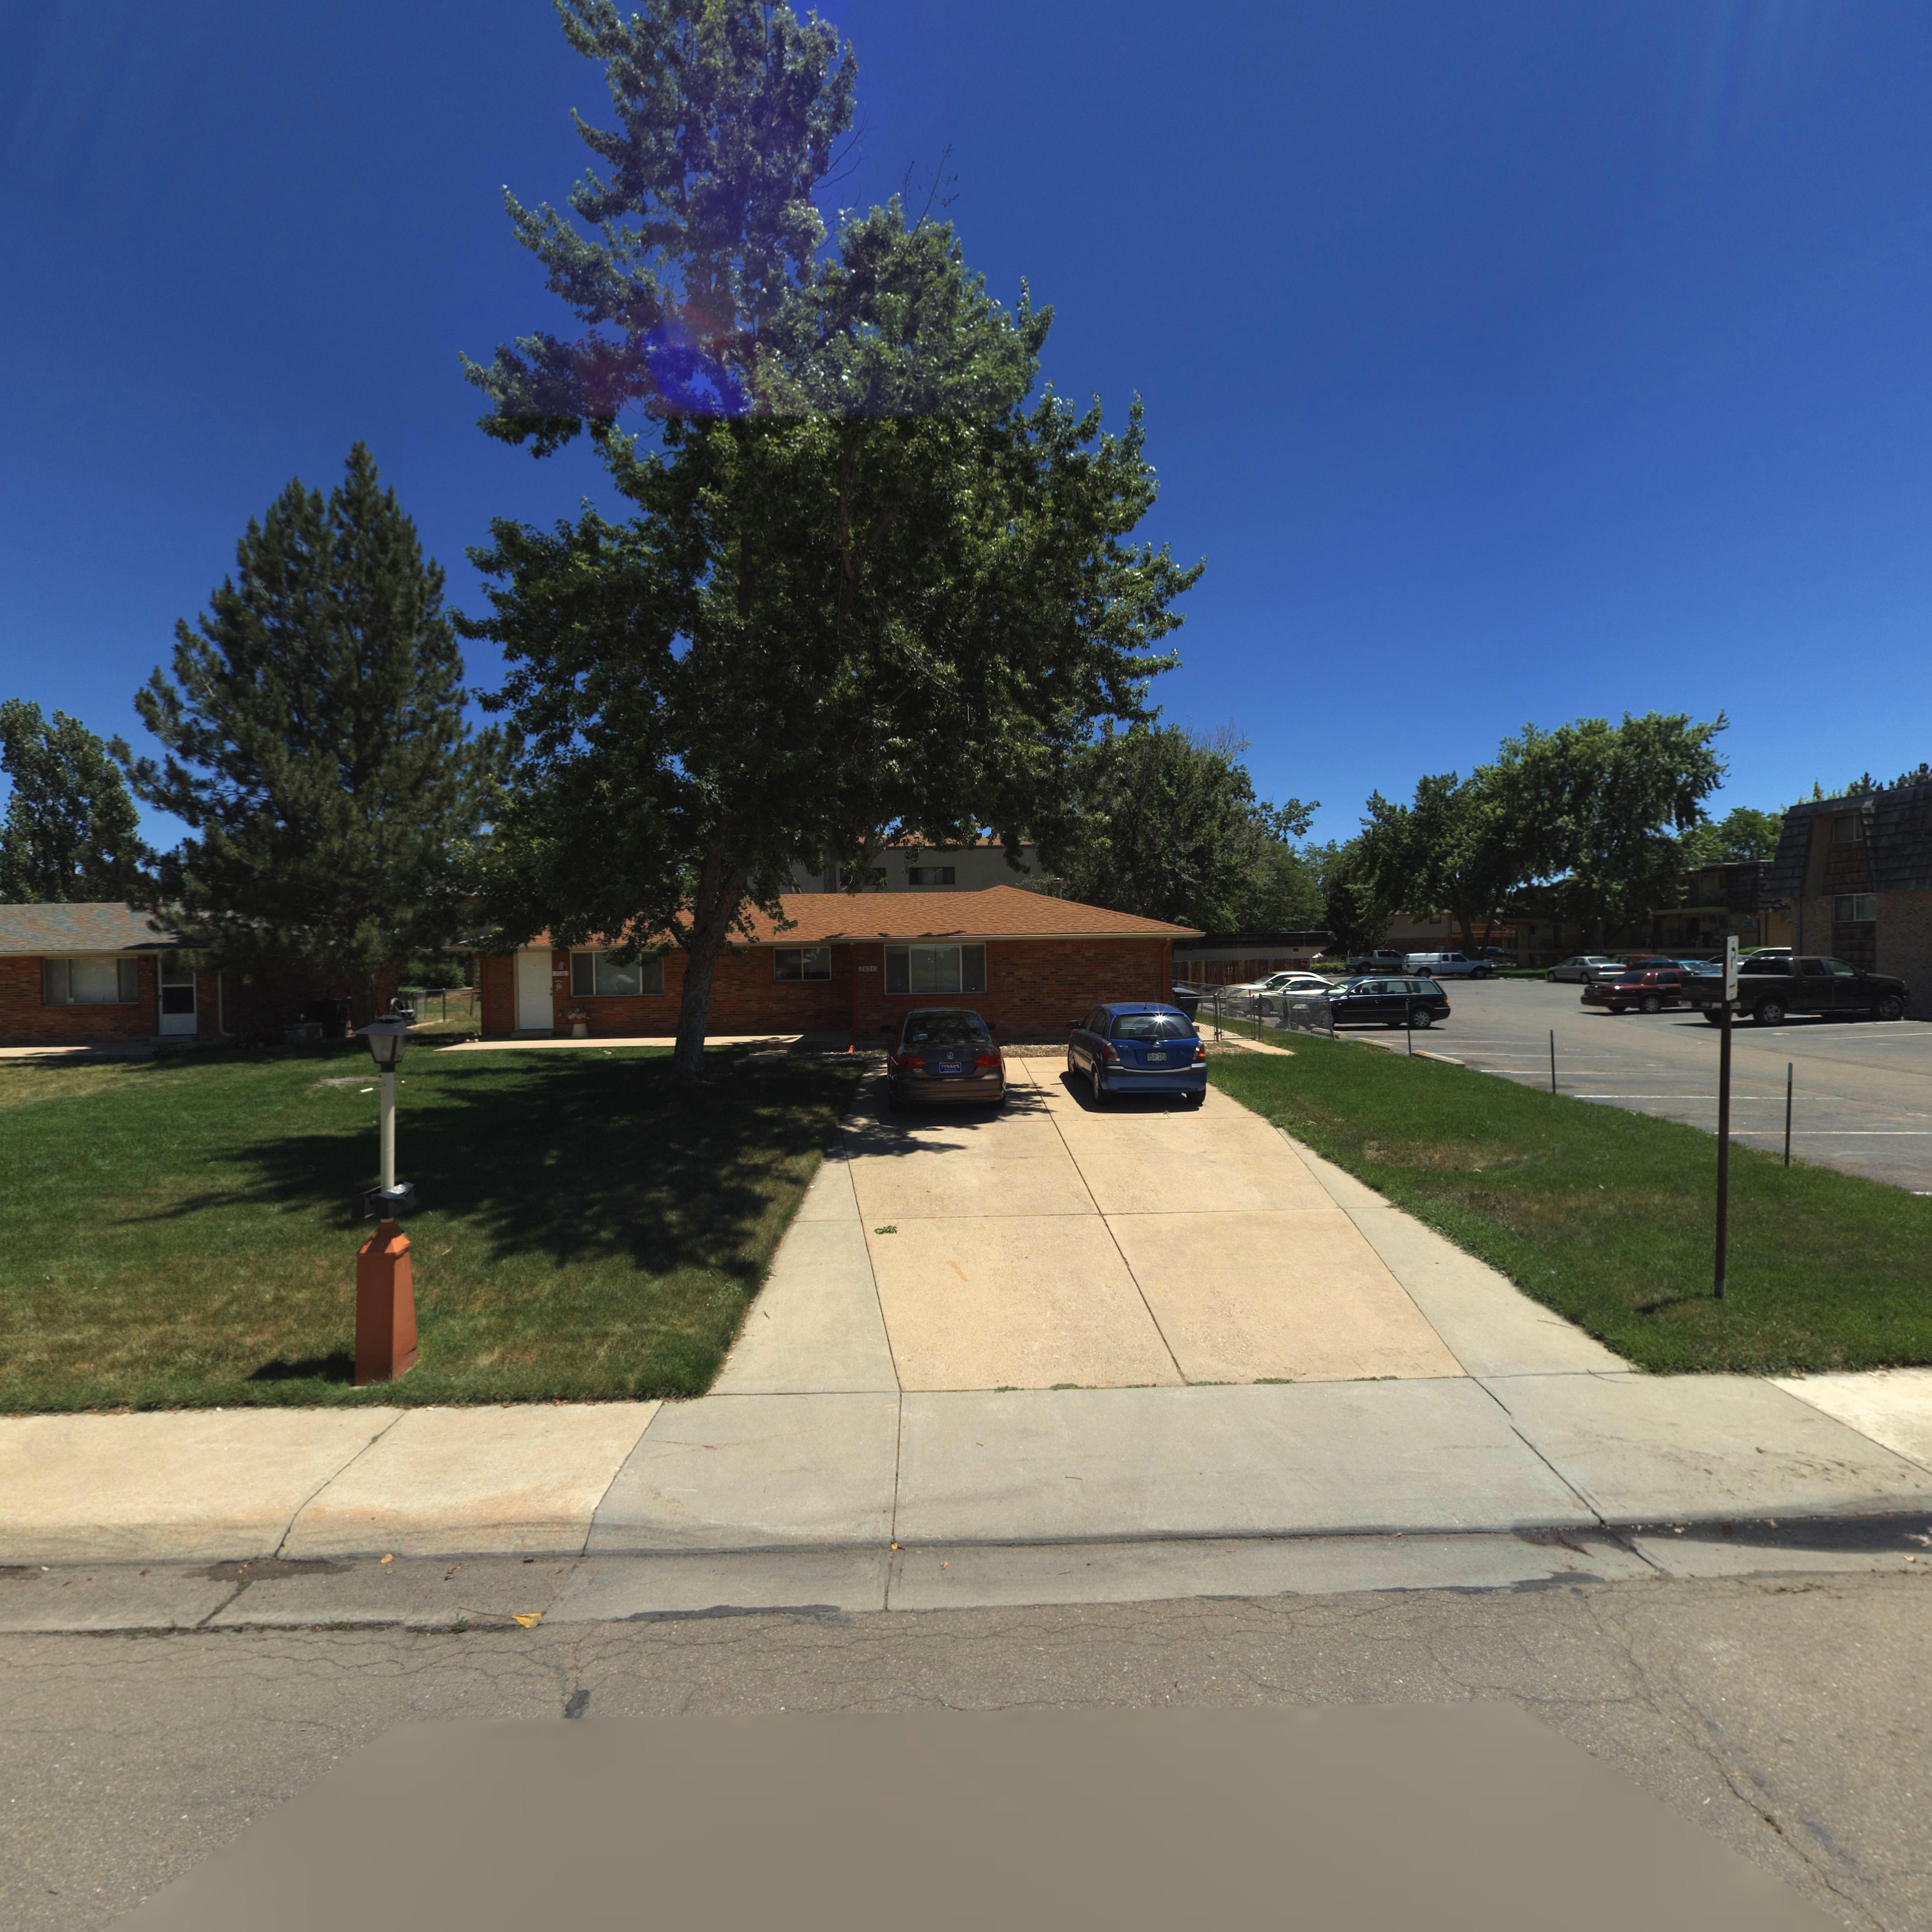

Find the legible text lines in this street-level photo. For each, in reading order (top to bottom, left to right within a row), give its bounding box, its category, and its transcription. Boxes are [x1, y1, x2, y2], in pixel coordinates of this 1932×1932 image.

[859, 966, 875, 972] StreetNumber: 2024